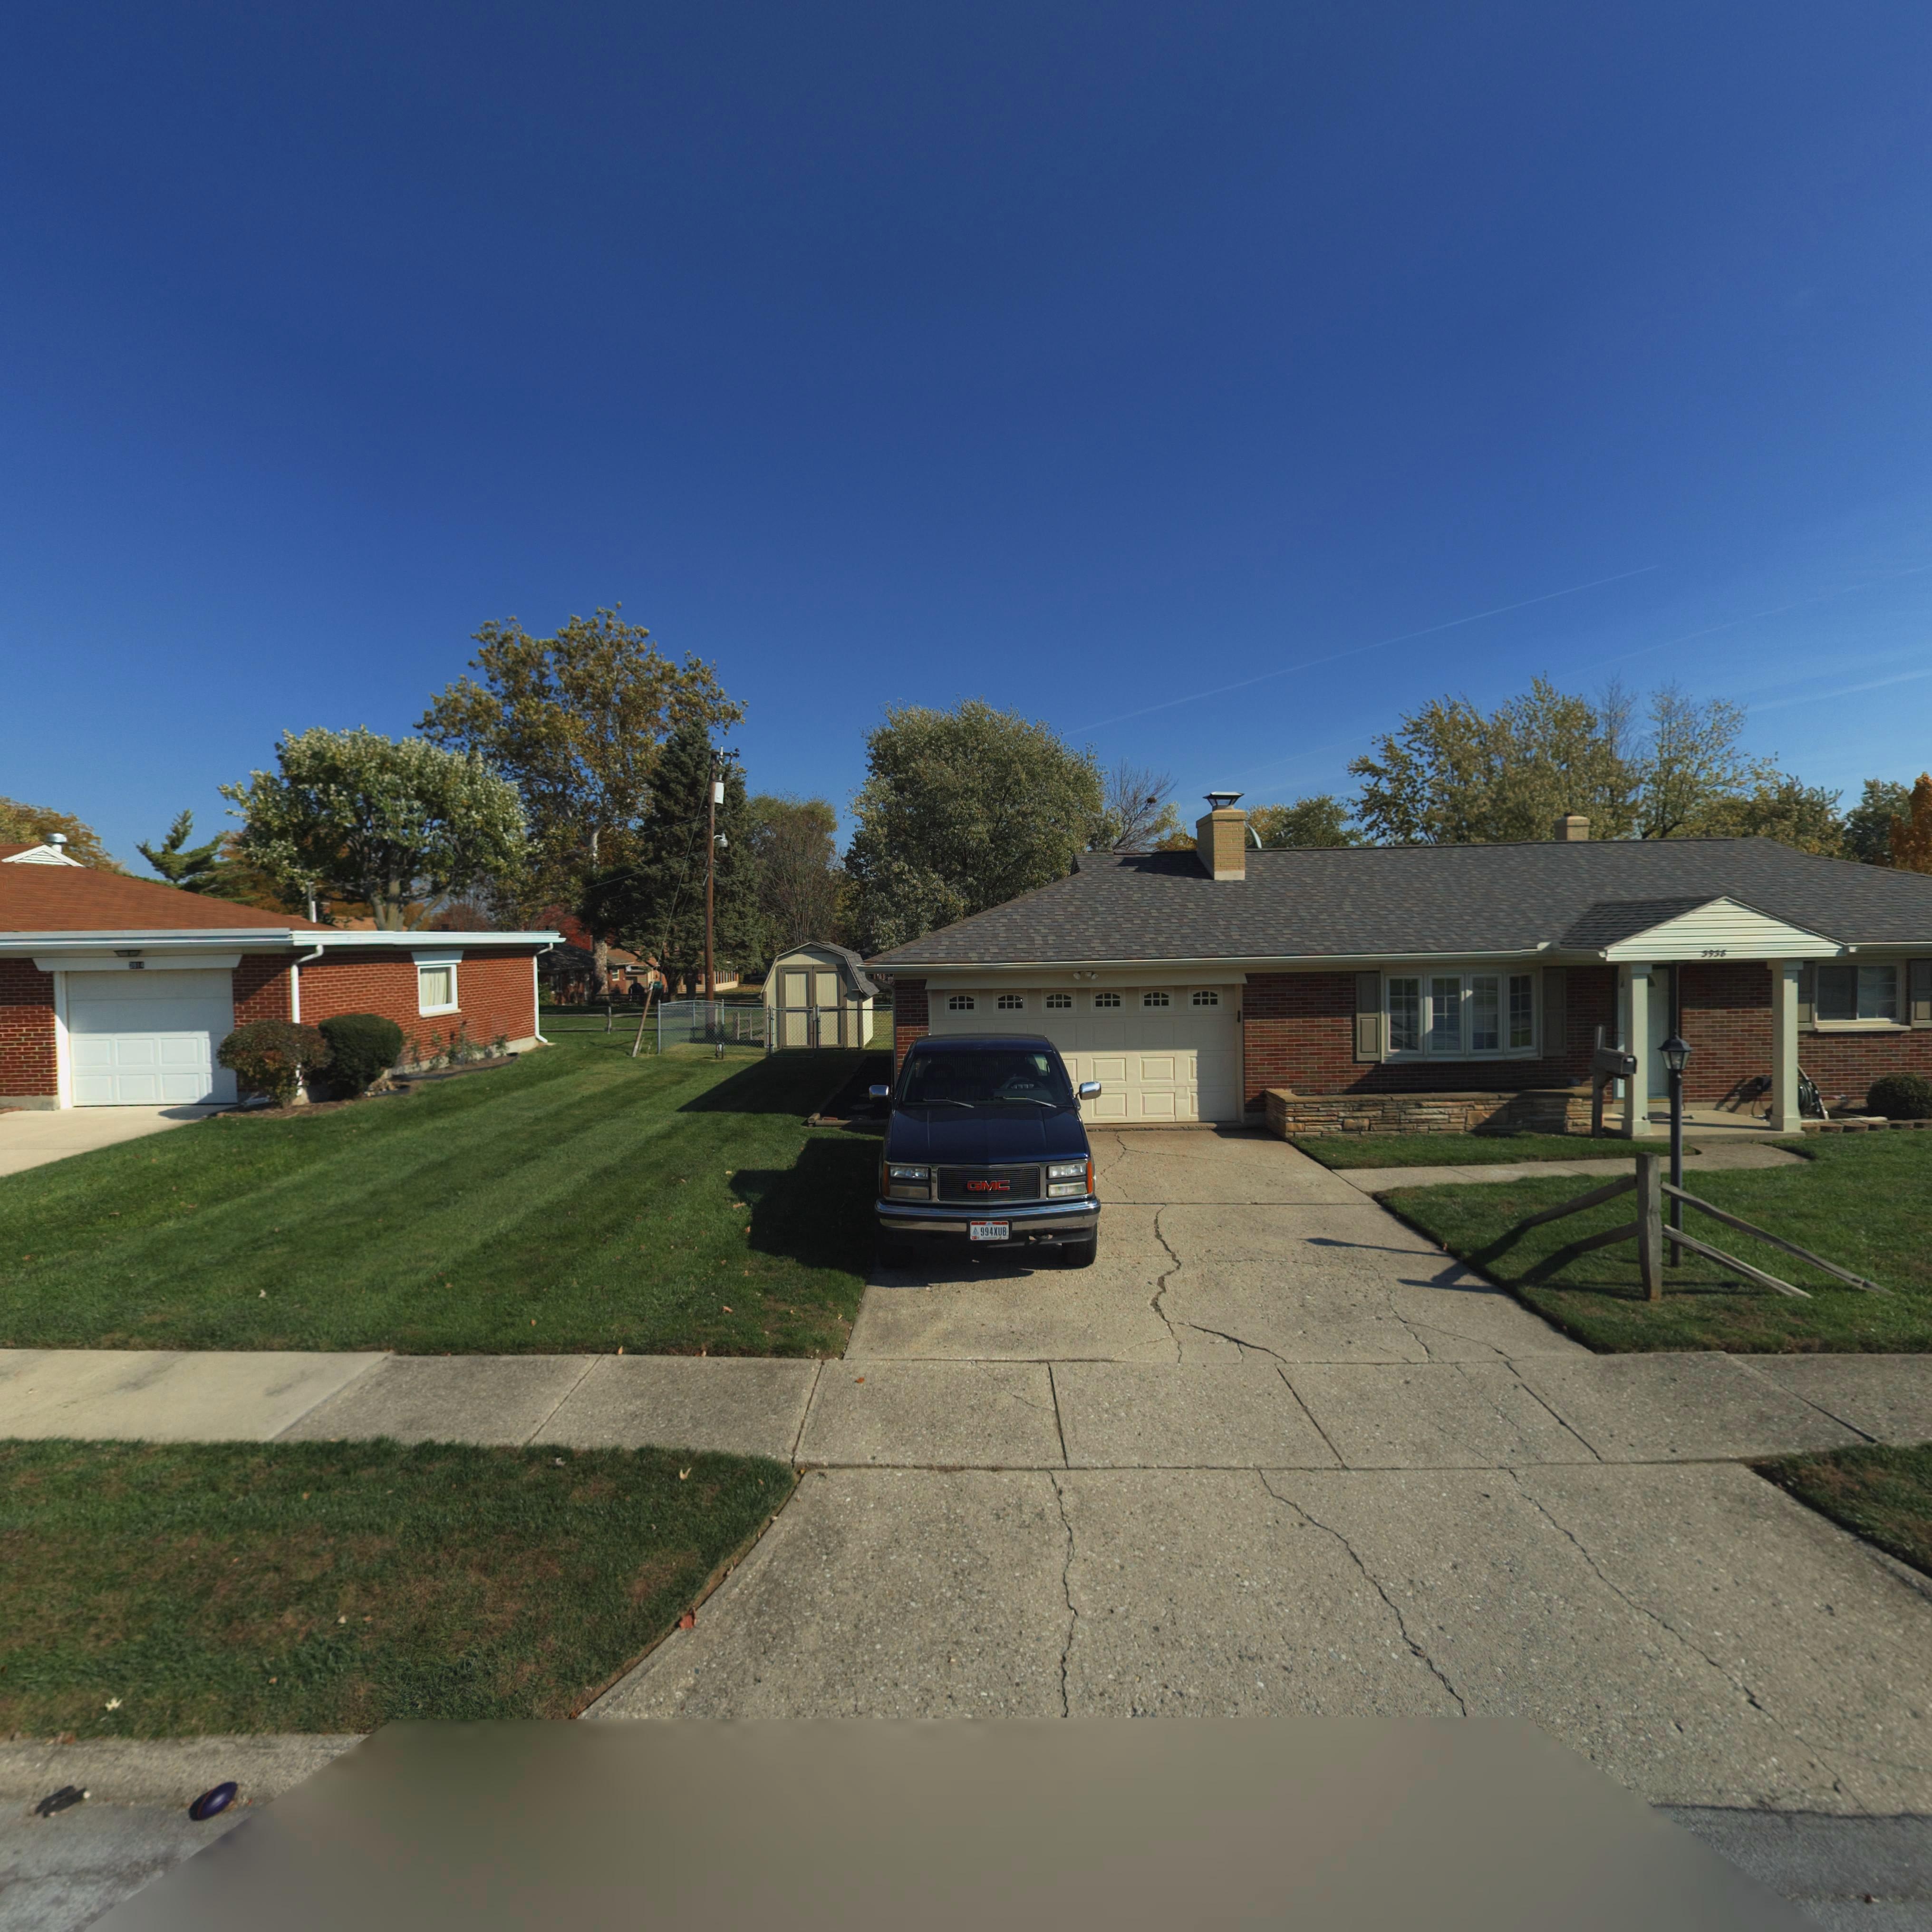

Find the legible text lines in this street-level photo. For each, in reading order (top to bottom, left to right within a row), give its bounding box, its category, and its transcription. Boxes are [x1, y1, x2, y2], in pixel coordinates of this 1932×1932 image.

[1700, 949, 1727, 957] StreetNumber: 3938
[129, 962, 144, 969] StreetNumber: 3914
[966, 1179, 1011, 1192] None: GMC
[980, 1226, 1006, 1236] None: 994XUB